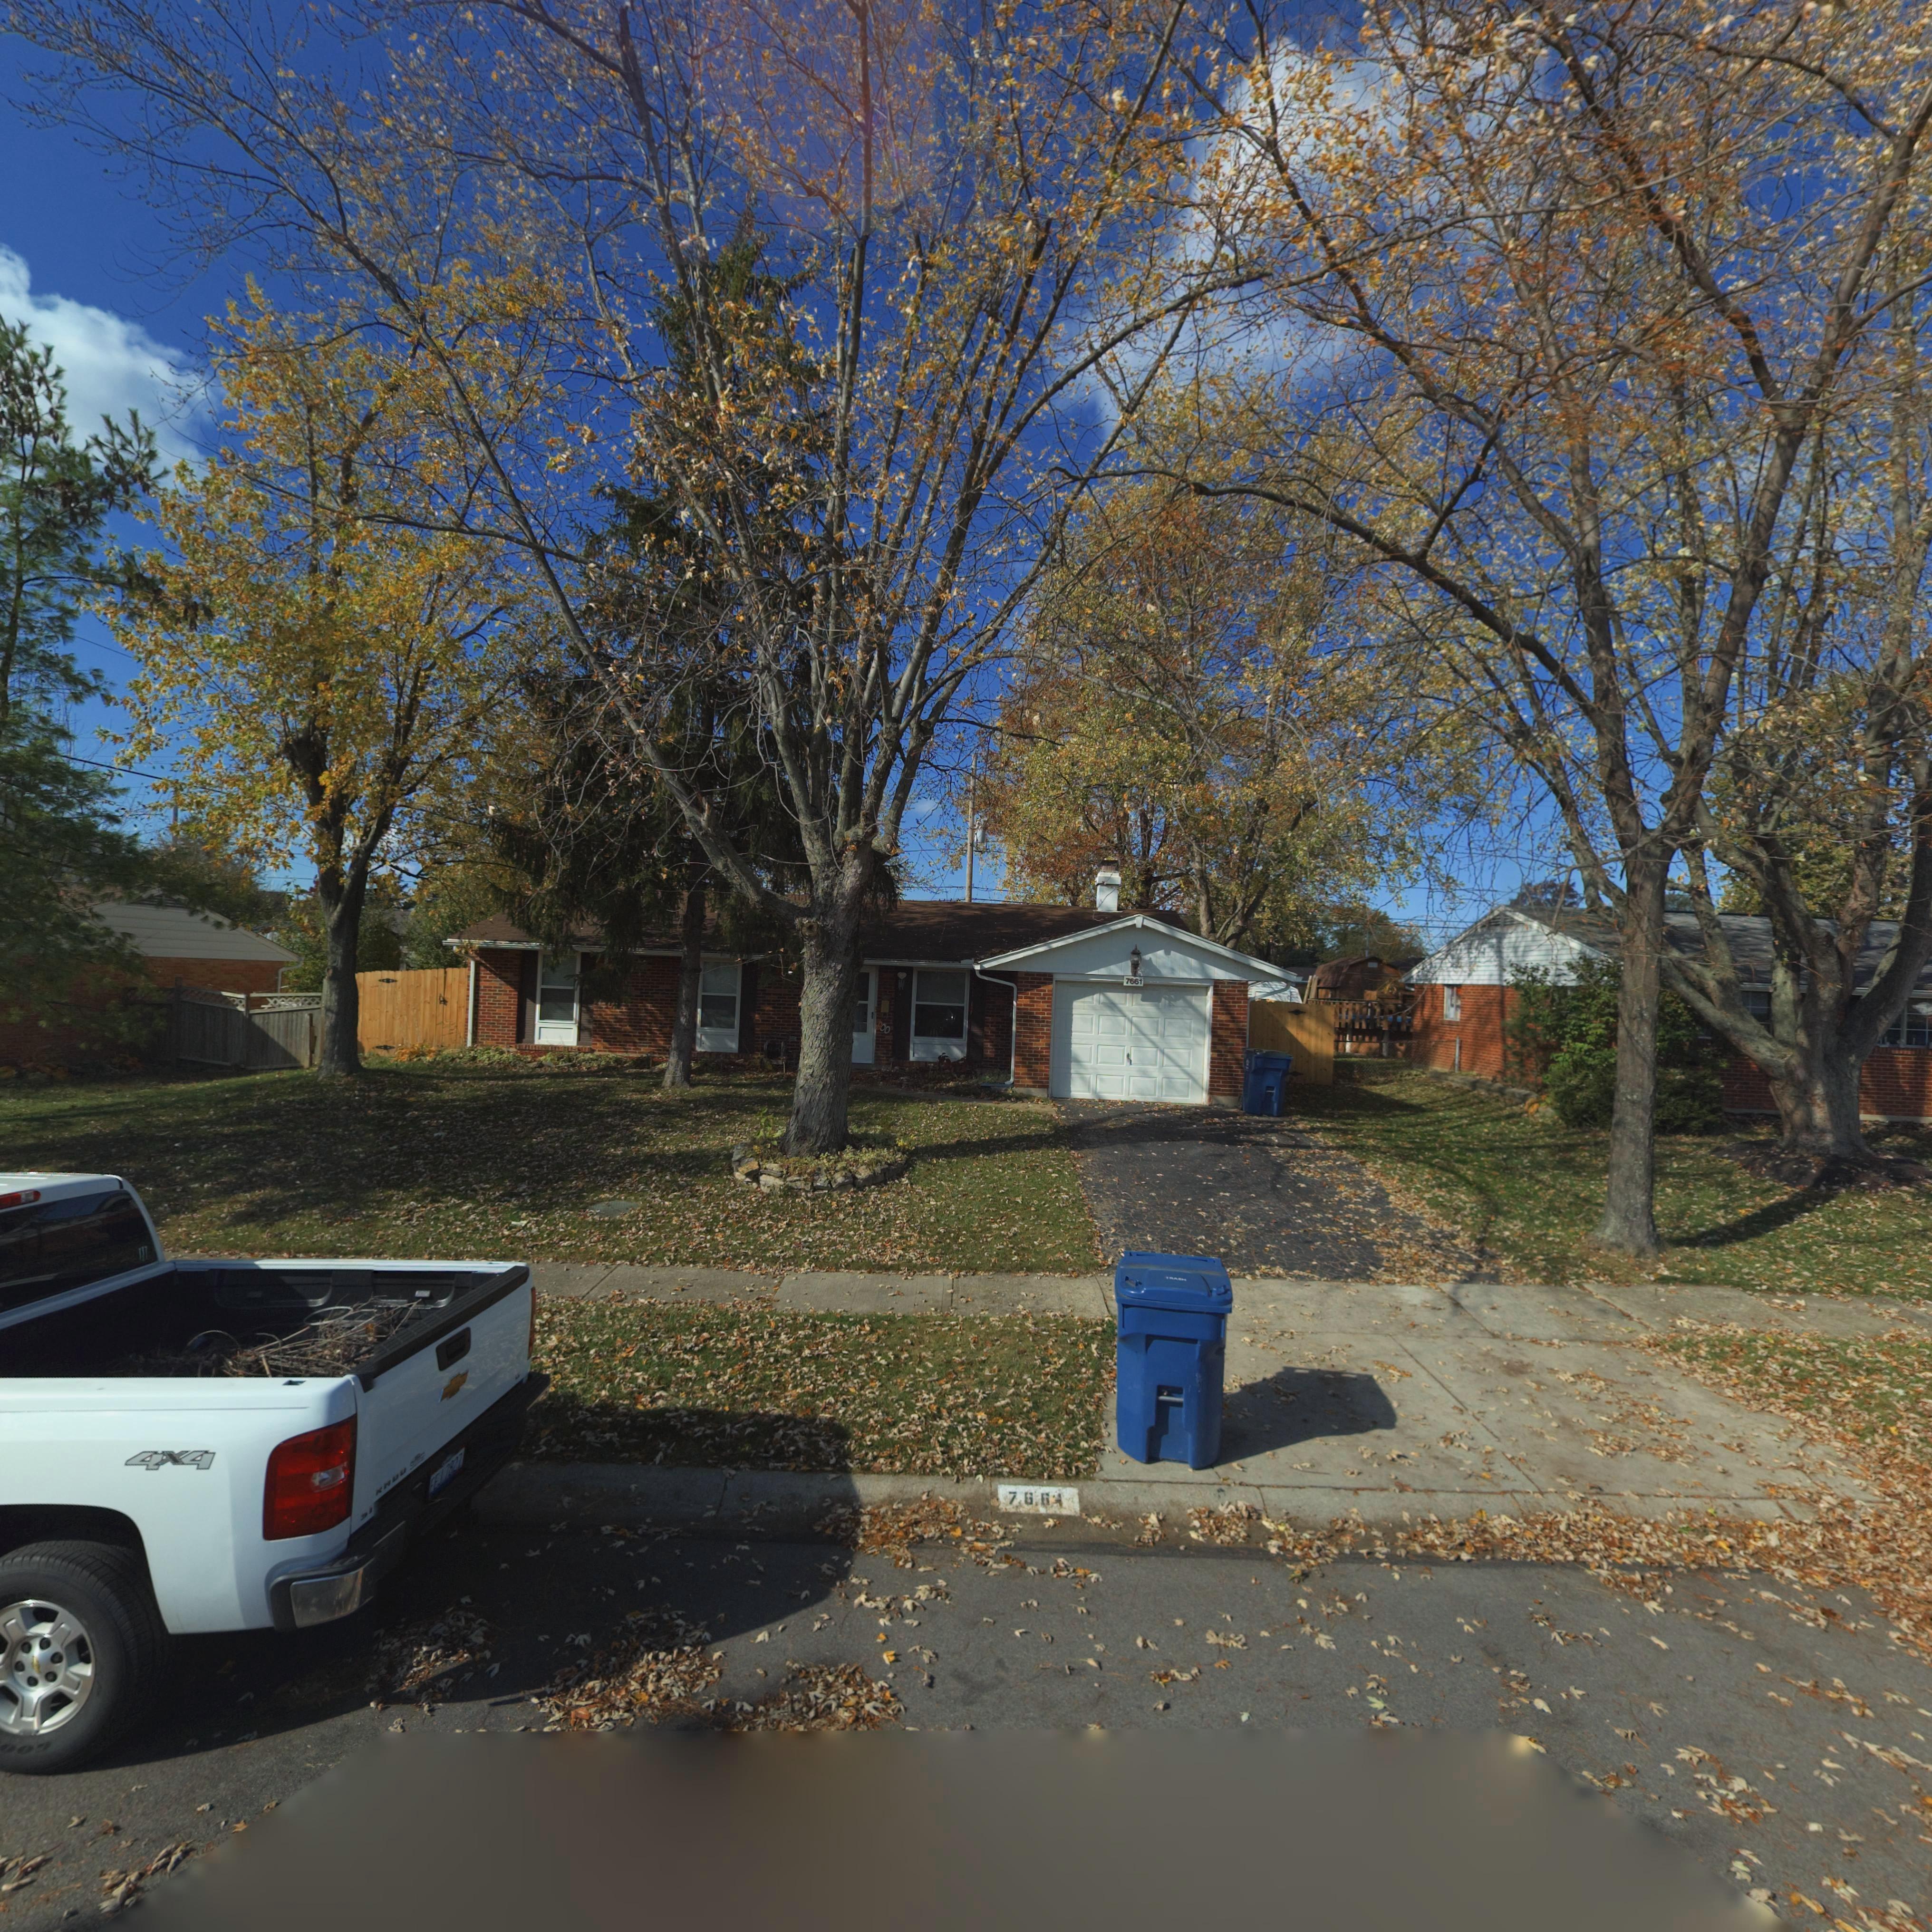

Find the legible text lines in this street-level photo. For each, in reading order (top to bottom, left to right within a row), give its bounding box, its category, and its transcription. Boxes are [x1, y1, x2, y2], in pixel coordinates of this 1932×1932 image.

[1124, 977, 1143, 986] StreetNumber: 7661
[1006, 1490, 1063, 1507] StreetNumber: 766*